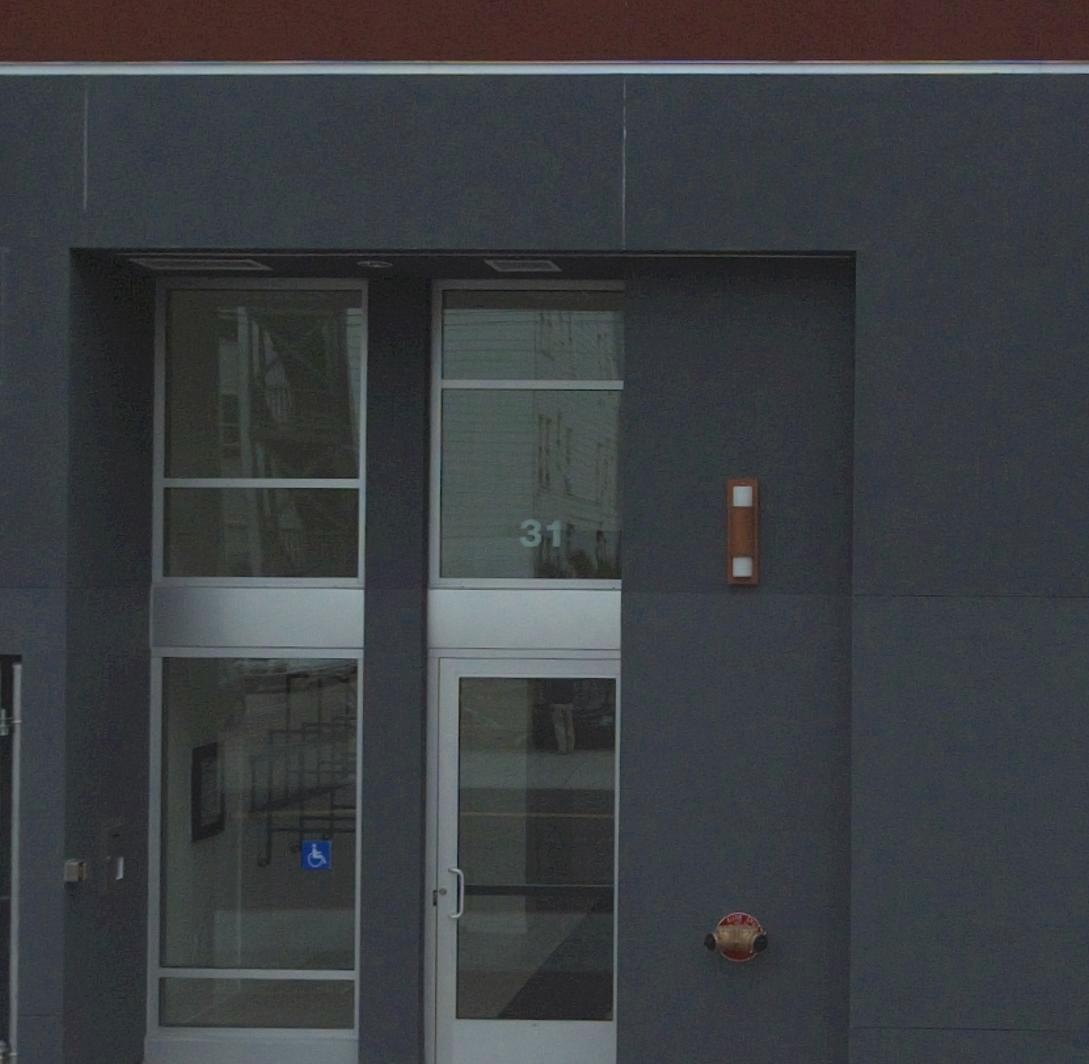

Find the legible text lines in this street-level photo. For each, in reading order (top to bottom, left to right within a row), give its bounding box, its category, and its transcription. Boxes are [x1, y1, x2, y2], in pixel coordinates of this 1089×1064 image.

[518, 516, 562, 549] StreetNumber: 31